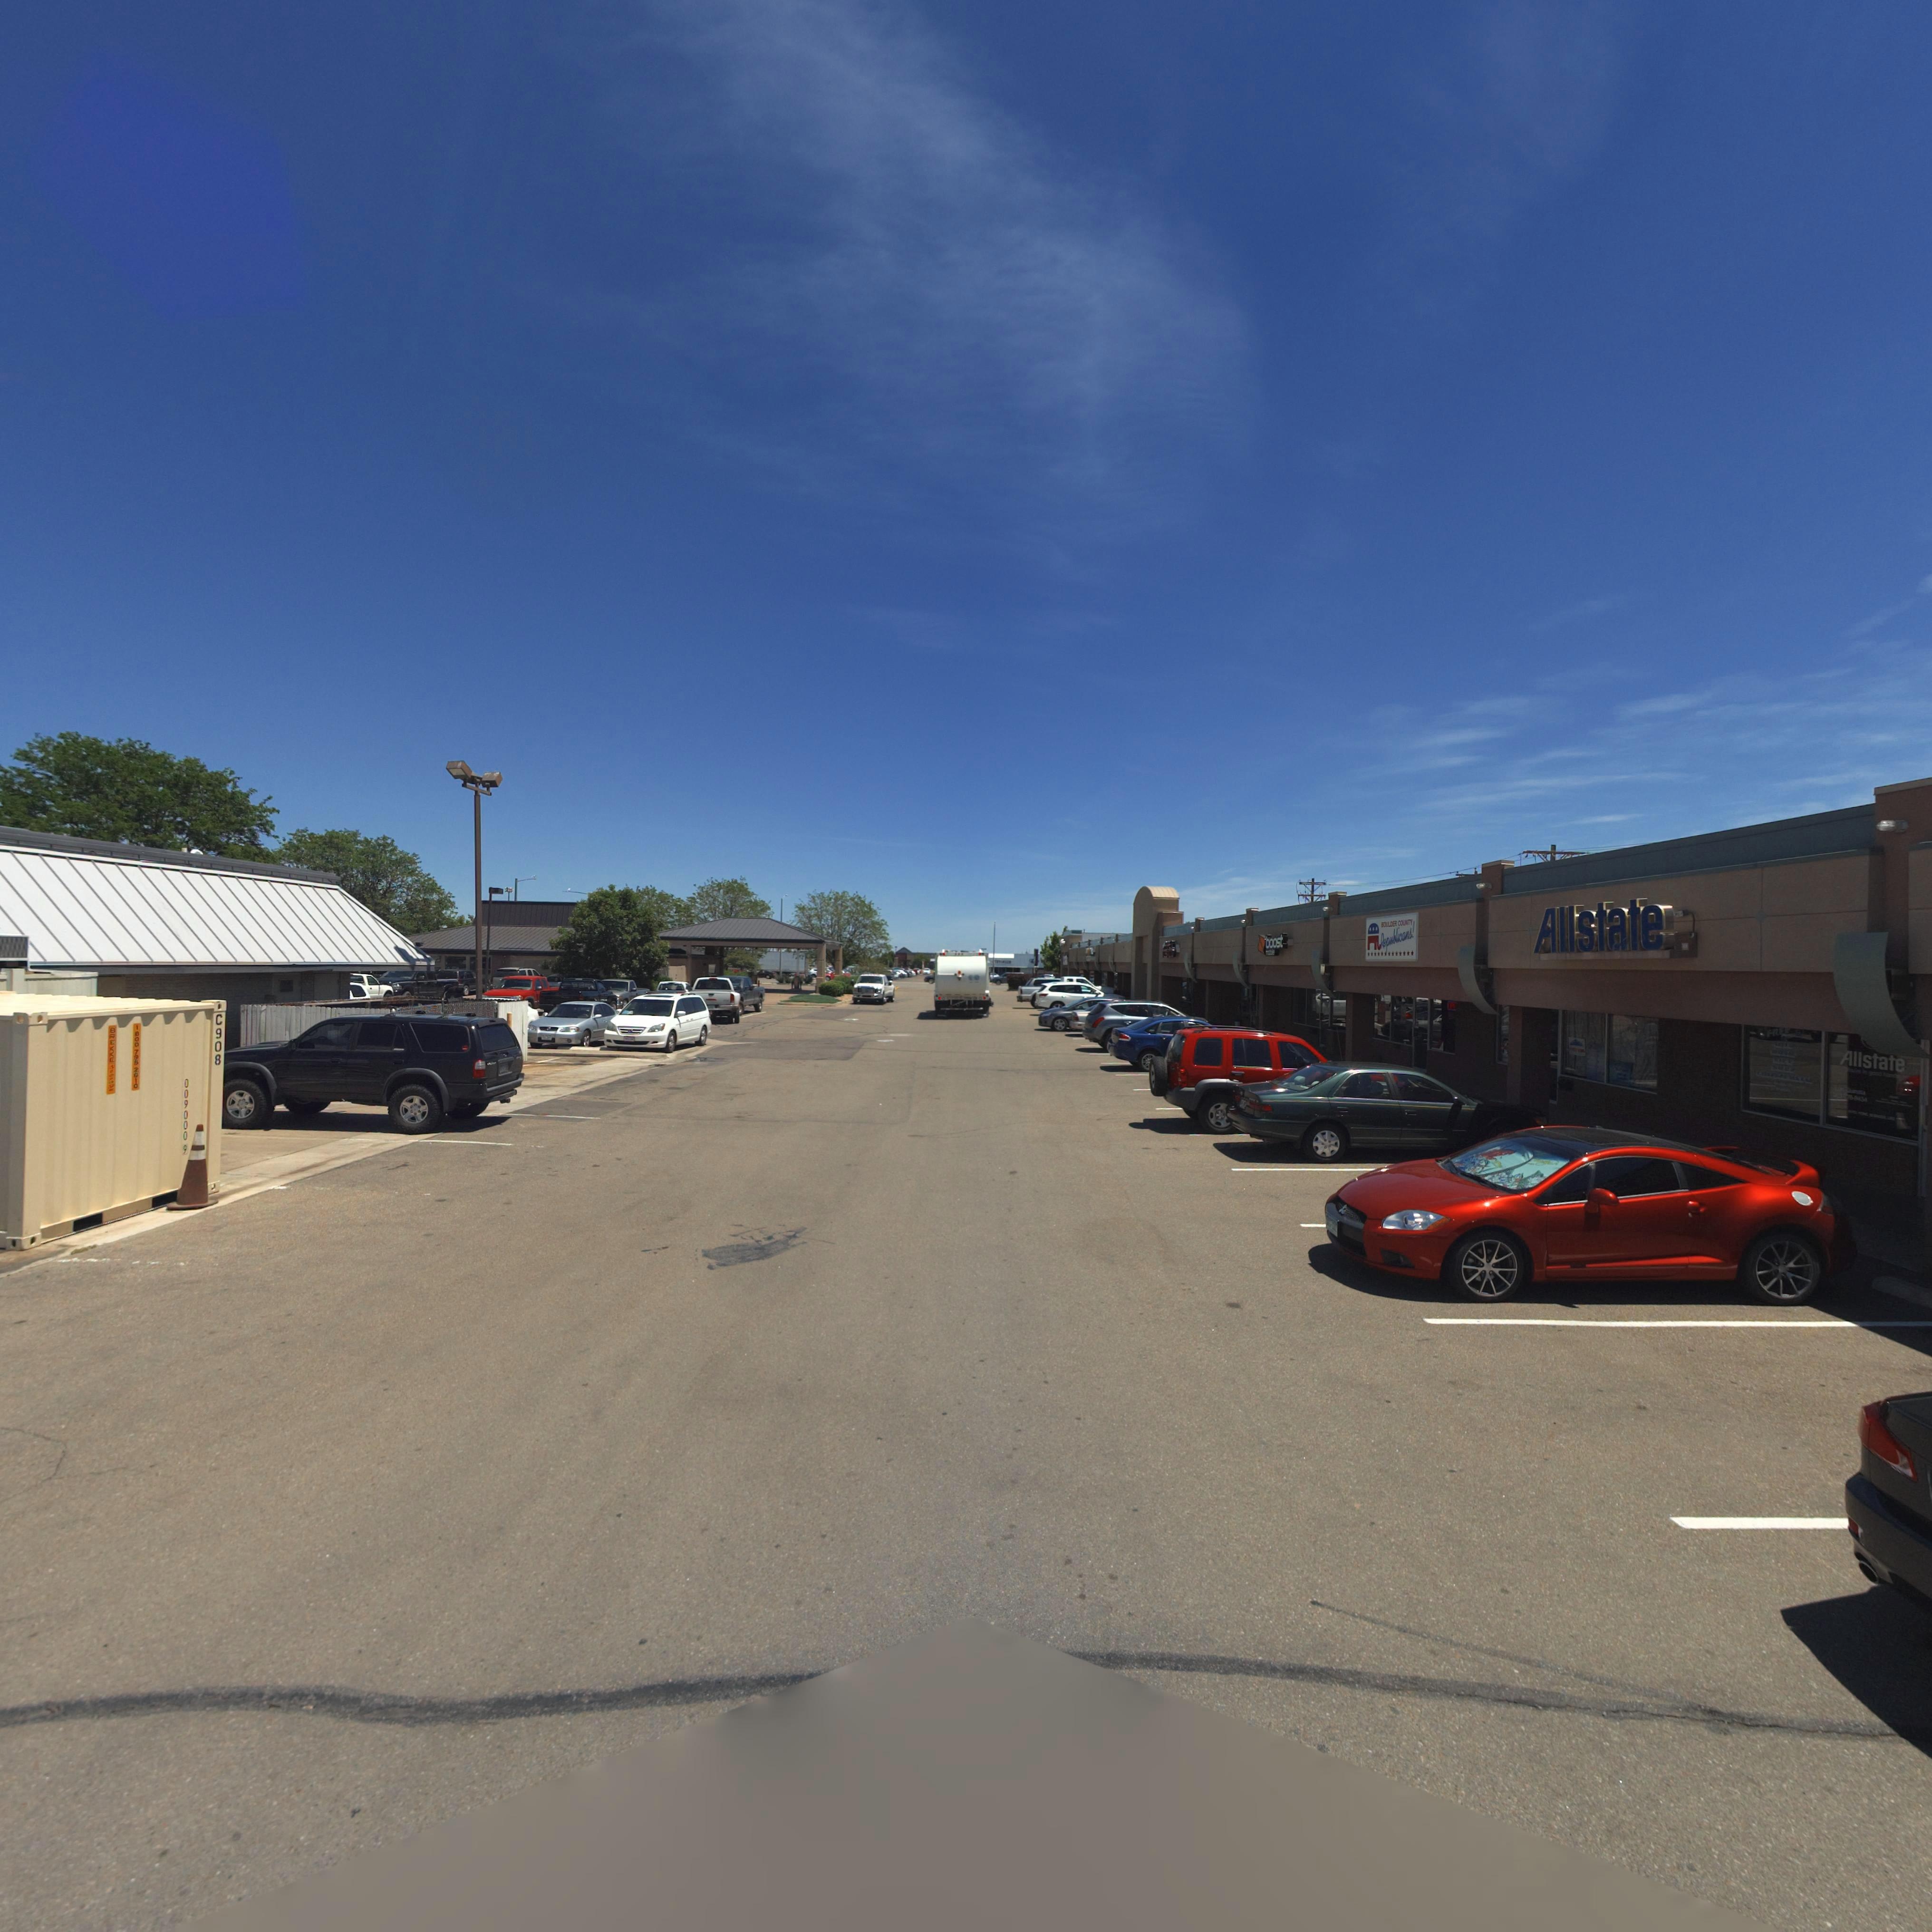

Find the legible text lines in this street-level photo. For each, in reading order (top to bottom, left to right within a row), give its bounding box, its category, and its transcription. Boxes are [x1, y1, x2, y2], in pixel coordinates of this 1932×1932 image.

[1531, 898, 1665, 954] BusinessName: Allstate
[1265, 934, 1284, 949] BusinessName: boost
[1838, 1049, 1906, 1073] BusinessName: Allstate